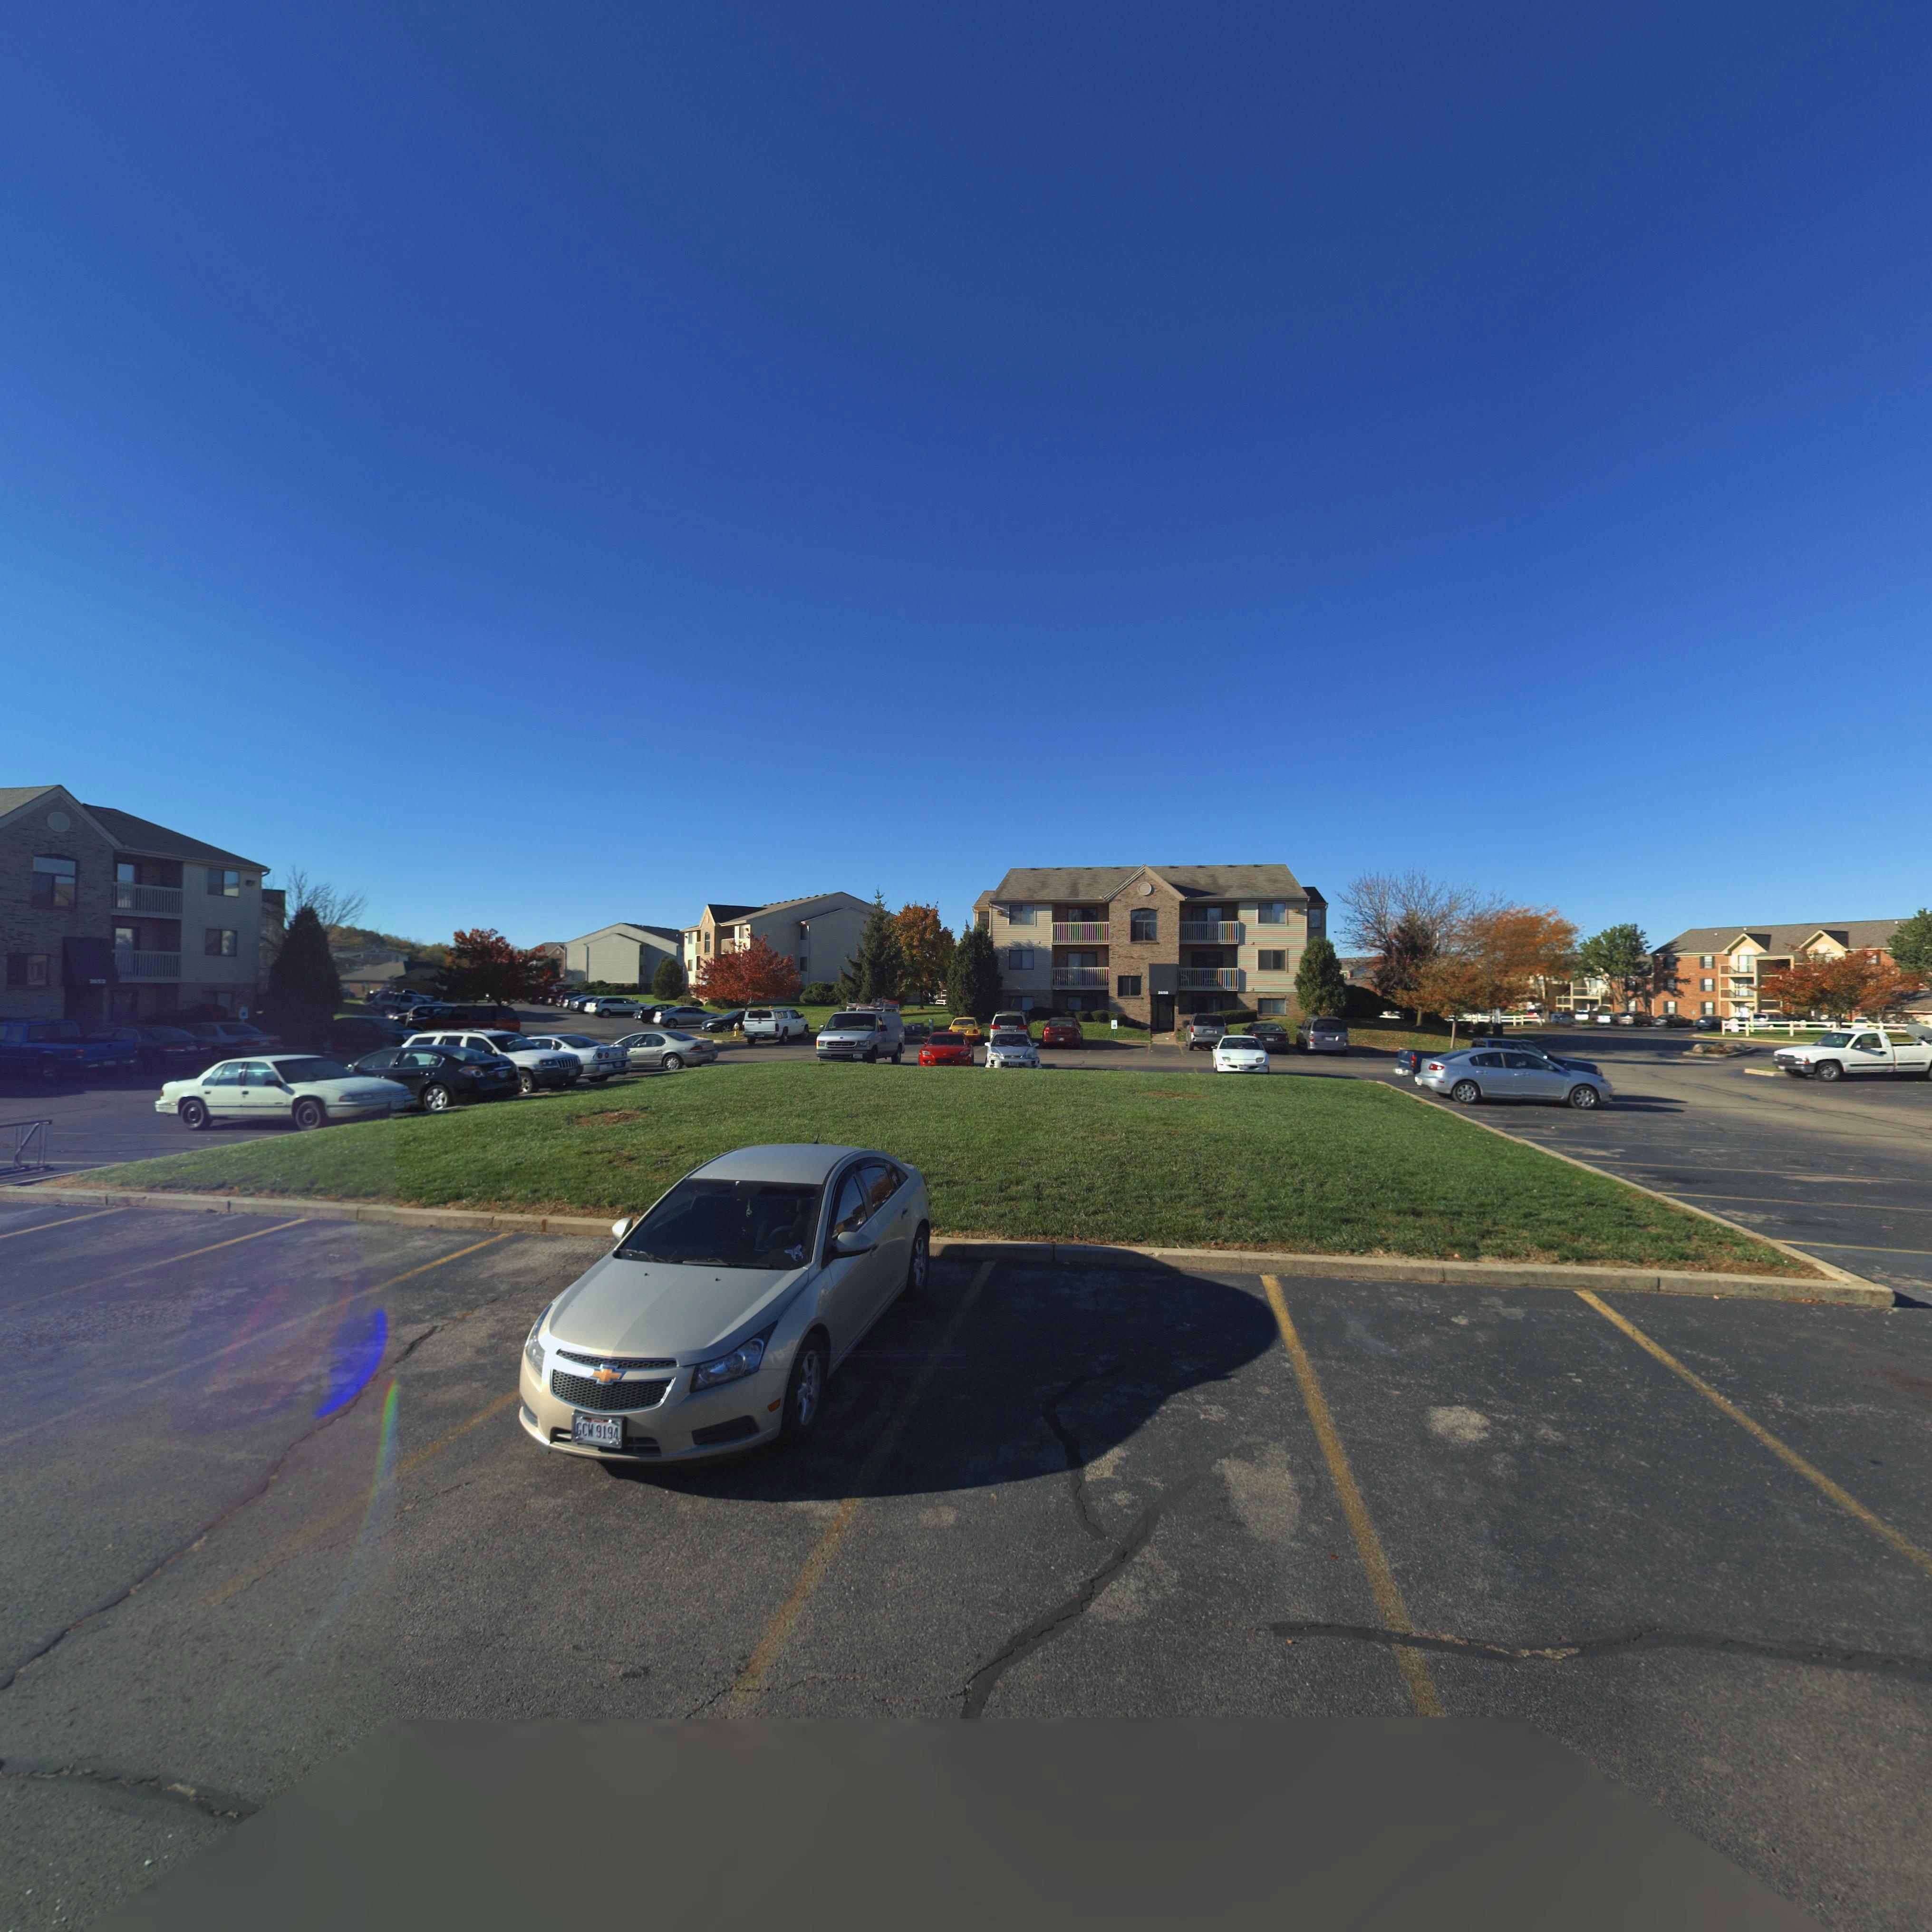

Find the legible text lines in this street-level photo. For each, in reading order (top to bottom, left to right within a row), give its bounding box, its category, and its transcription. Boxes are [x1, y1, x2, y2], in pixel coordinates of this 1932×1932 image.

[89, 978, 107, 984] StreetNumber: 2***
[1157, 991, 1169, 995] StreetNumber: 2*5*